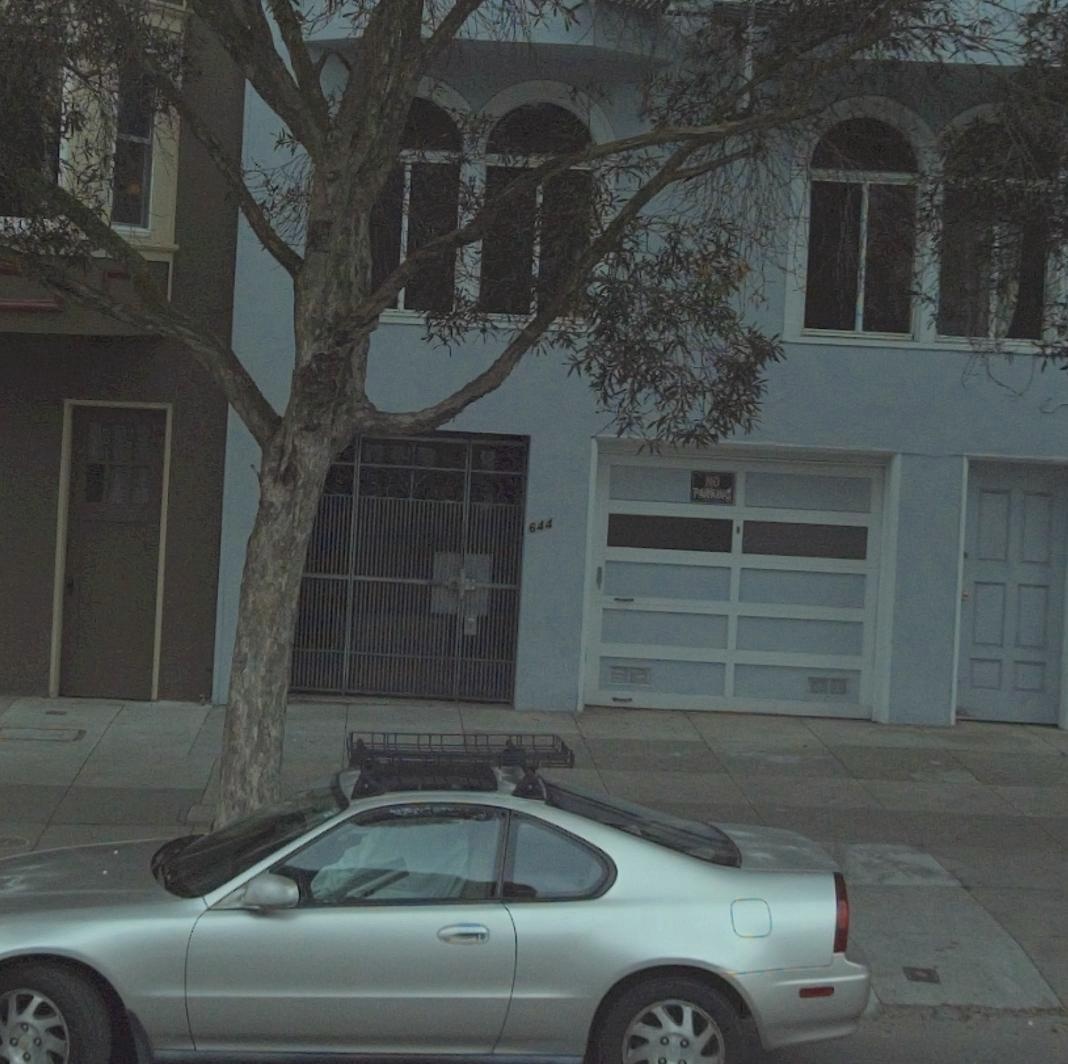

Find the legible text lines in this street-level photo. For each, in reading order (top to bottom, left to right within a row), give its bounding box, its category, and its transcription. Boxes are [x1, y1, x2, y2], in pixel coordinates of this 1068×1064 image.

[704, 474, 721, 488] None: NO
[692, 487, 732, 501] None: PA****G
[529, 517, 553, 534] StreetNumber: 644
[836, 681, 846, 694] None: 0